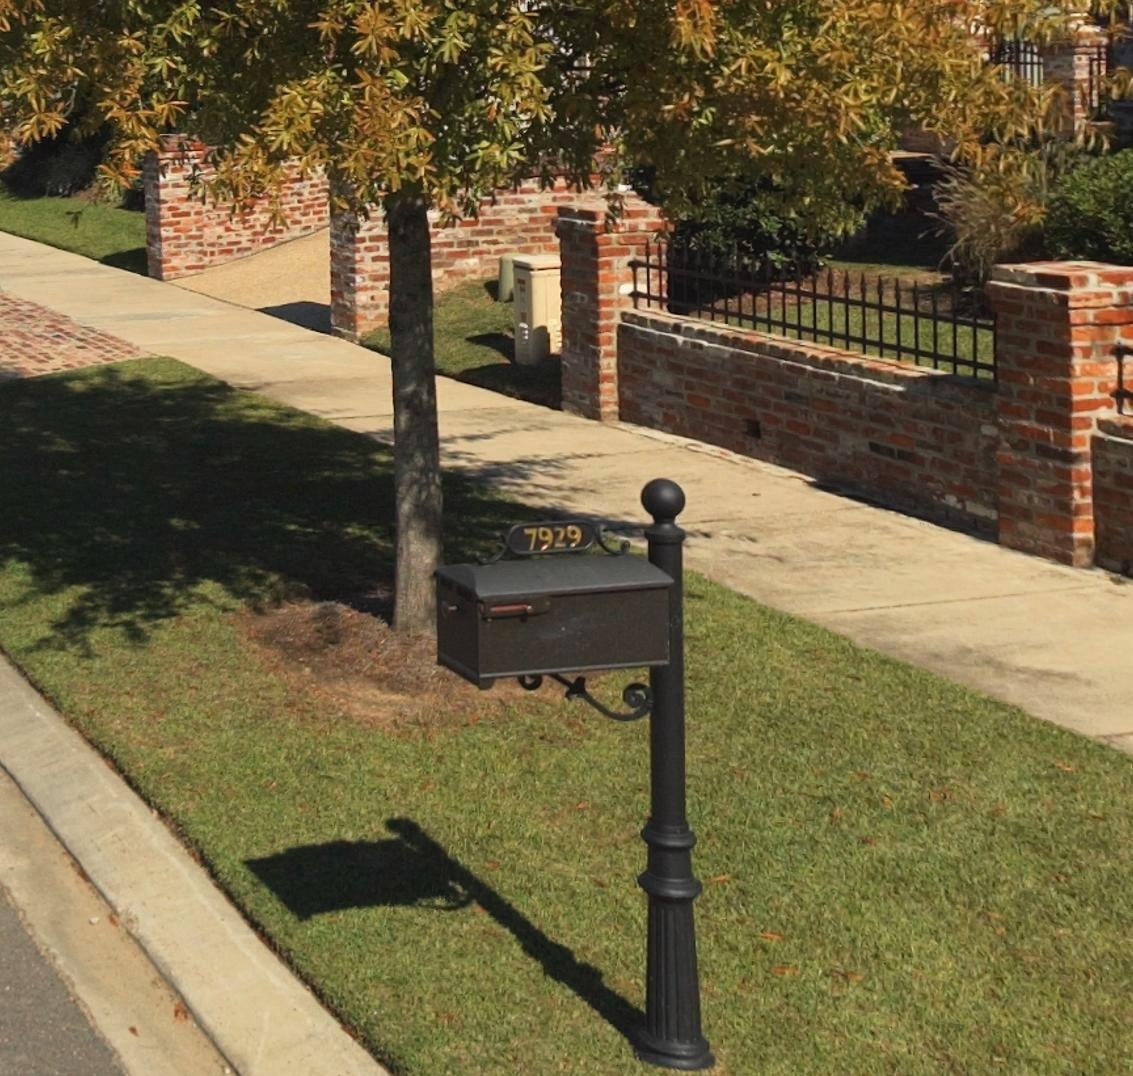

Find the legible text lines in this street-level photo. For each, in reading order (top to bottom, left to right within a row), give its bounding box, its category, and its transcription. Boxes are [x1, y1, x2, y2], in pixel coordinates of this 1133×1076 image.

[522, 524, 584, 551] StreetNumber: 7929